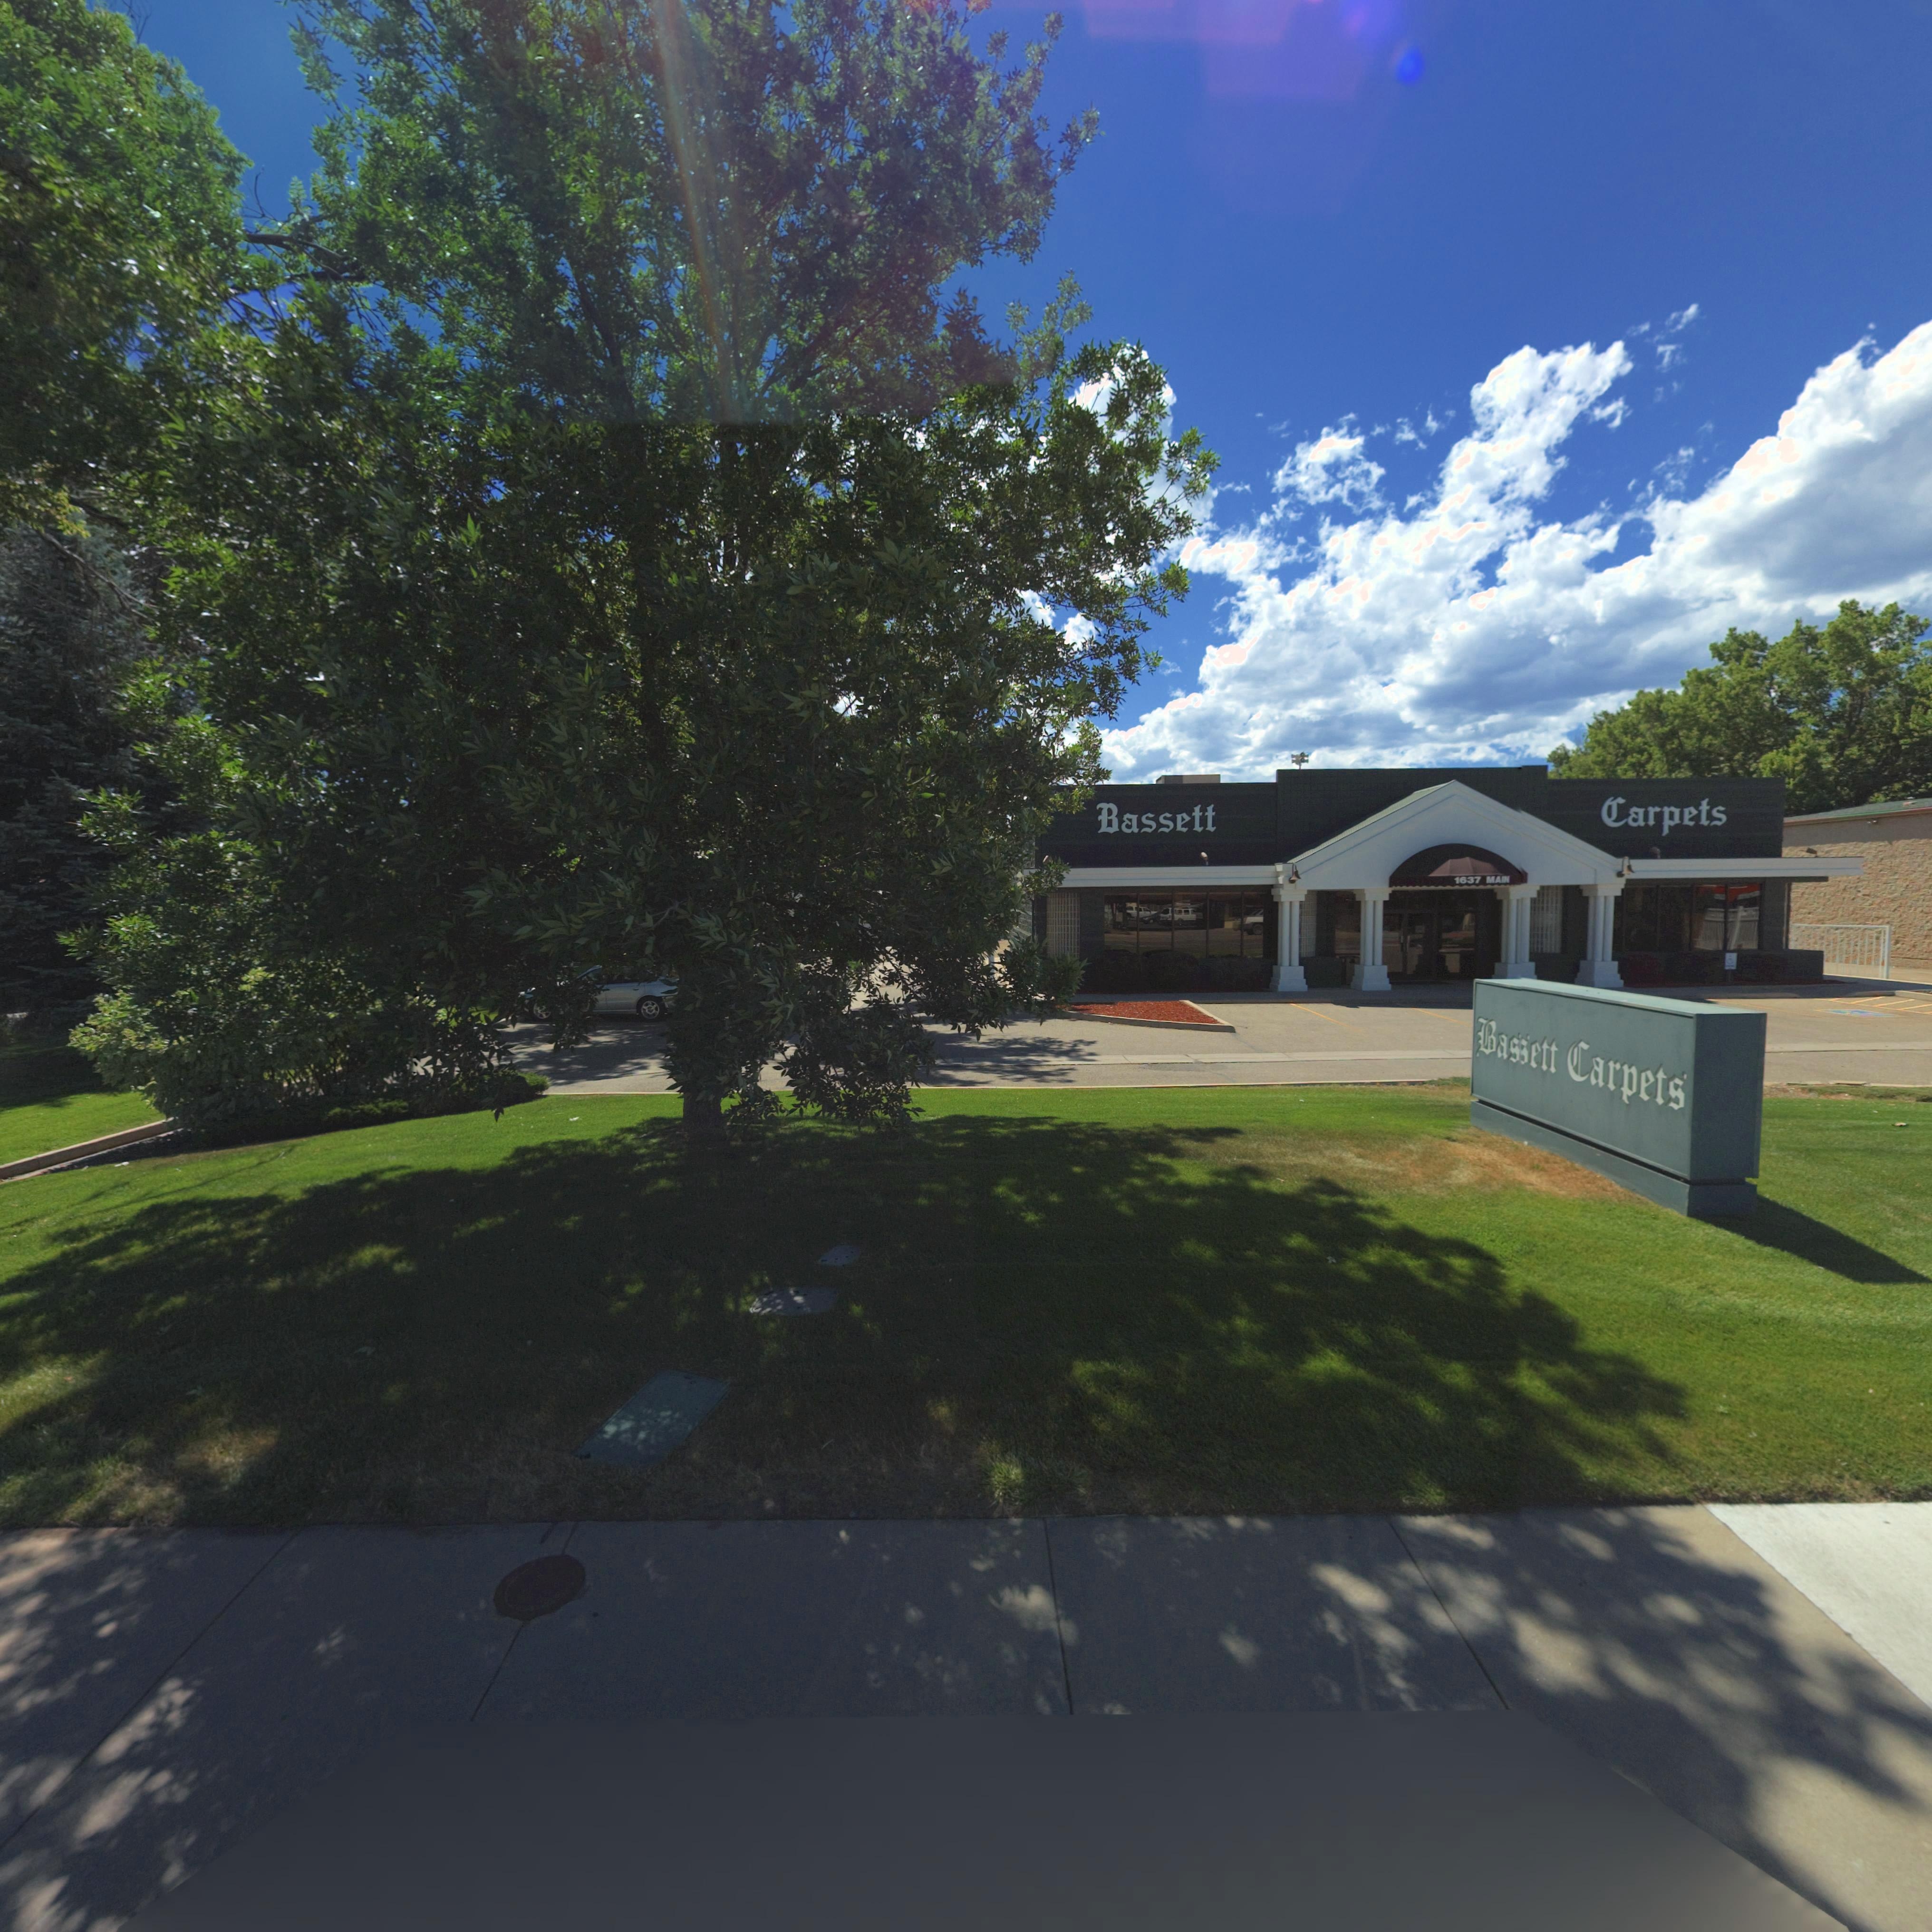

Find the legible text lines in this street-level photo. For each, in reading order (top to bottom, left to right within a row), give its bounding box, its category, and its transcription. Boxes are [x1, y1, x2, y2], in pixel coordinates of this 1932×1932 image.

[1096, 801, 1217, 834] BusinessName: Bassett
[1598, 794, 1729, 838] BusinessName: Carpets
[1454, 876, 1482, 884] StreetNumber: 1637
[1486, 875, 1510, 884] StreetName: MAIN
[1475, 1014, 1690, 1112] BusinessName: Bassett Carpets